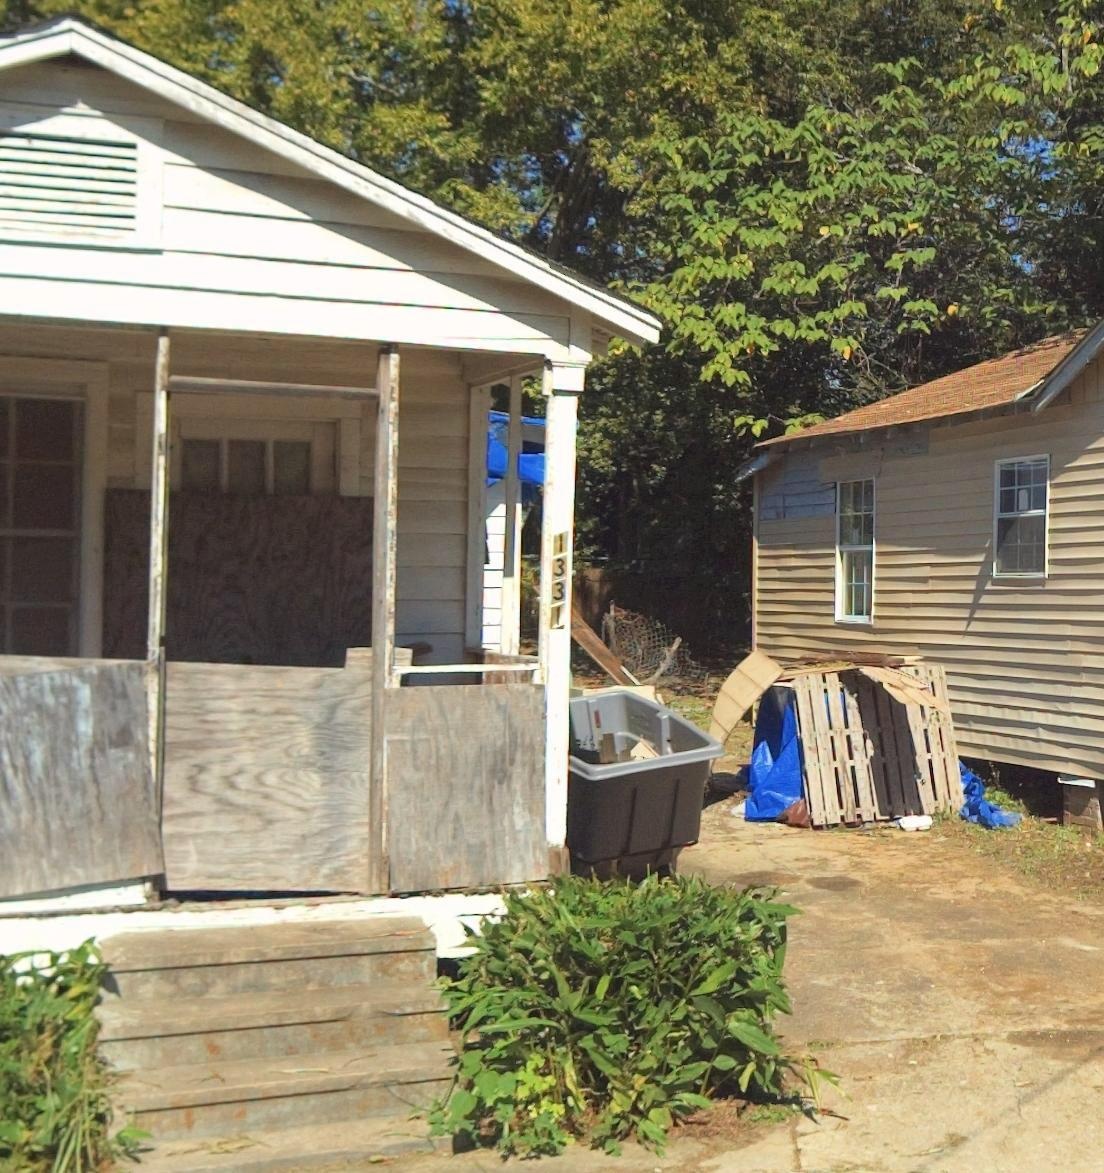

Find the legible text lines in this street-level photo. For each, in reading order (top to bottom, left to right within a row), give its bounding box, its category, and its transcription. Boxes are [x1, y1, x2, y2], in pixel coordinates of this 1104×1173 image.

[551, 531, 567, 627] StreetNumber: 1331